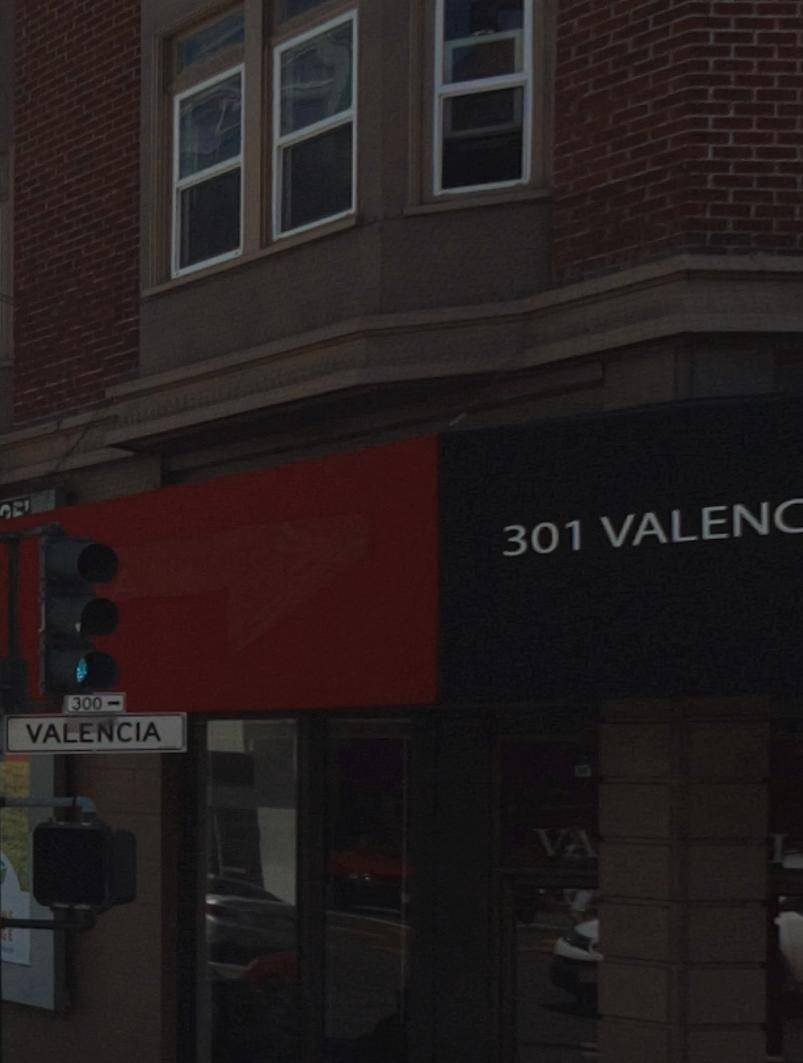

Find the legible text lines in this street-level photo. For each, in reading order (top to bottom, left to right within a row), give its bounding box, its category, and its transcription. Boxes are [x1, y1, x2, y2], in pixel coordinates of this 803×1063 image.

[494, 514, 585, 560] StreetNumber: 301
[597, 498, 773, 554] StreetName: VALEN
[67, 696, 123, 712] StreetNumberRange: 300->
[22, 718, 168, 746] StreetName: VALENCIA
[530, 823, 602, 863] None: VA